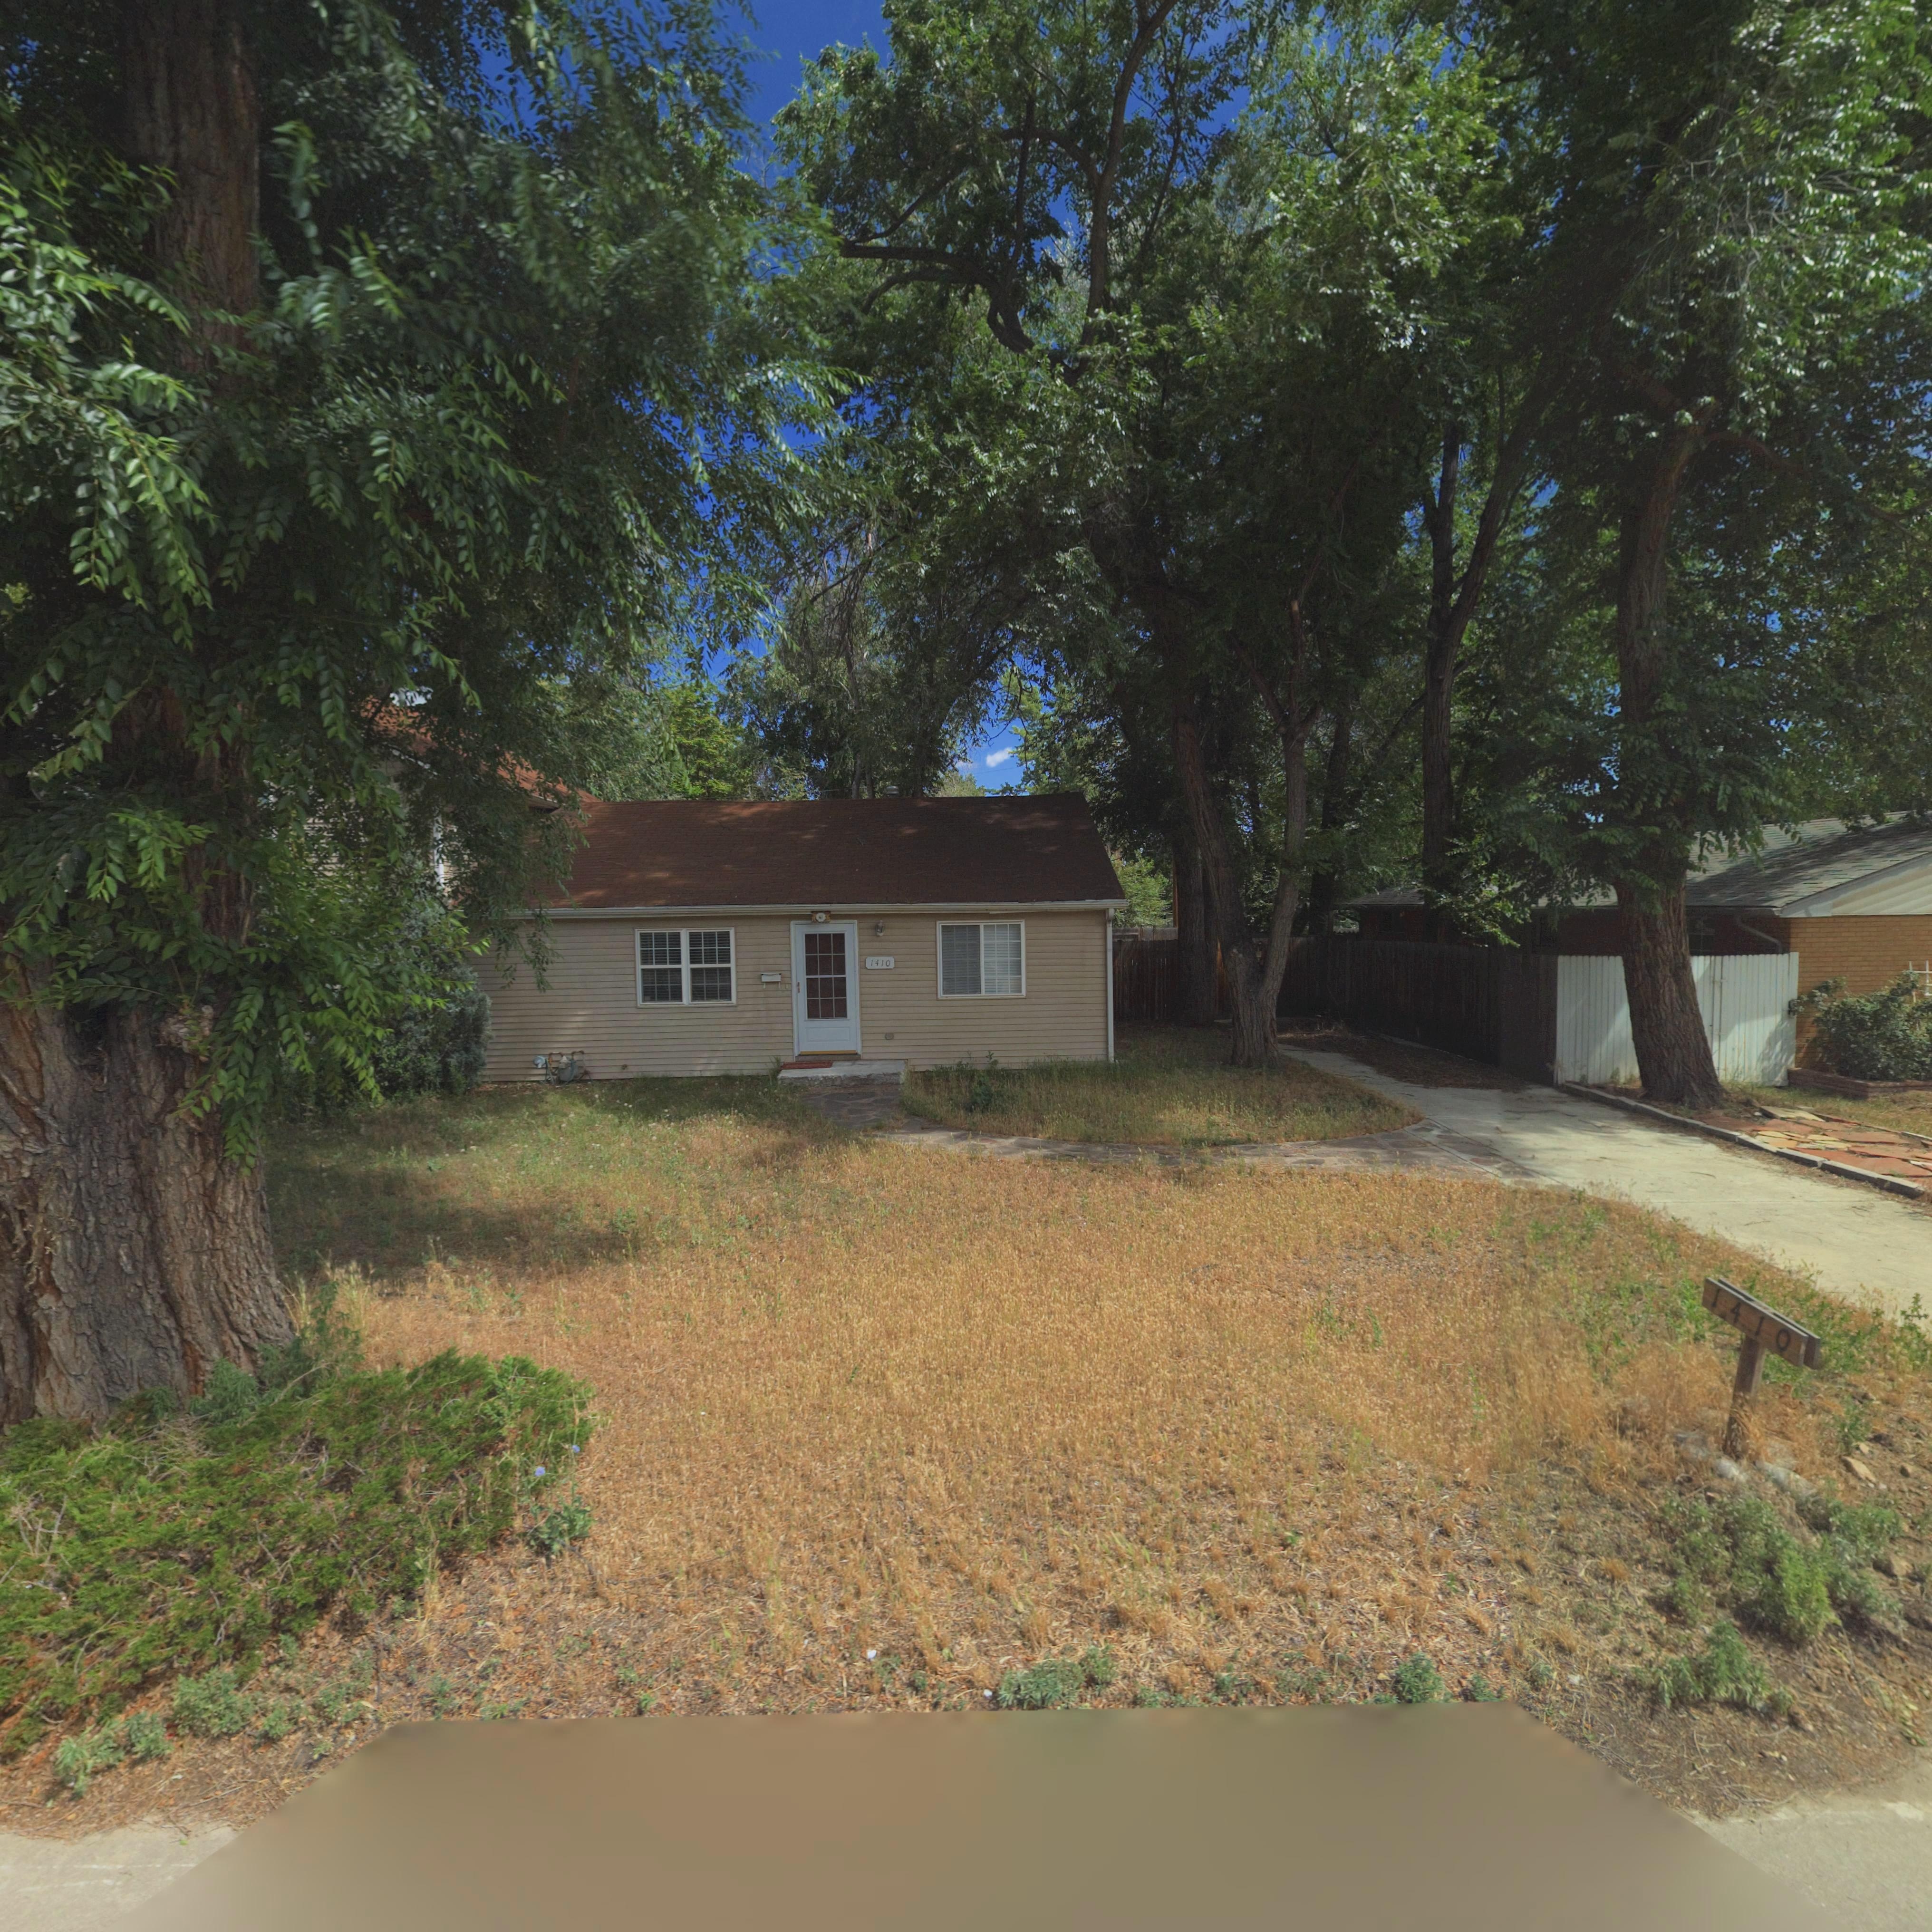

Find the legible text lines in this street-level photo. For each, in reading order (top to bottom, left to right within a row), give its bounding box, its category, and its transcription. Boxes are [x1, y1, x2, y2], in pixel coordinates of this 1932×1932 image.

[870, 959, 890, 966] StreetNumber: 1410
[1709, 1287, 1792, 1353] StreetNumber: 1410